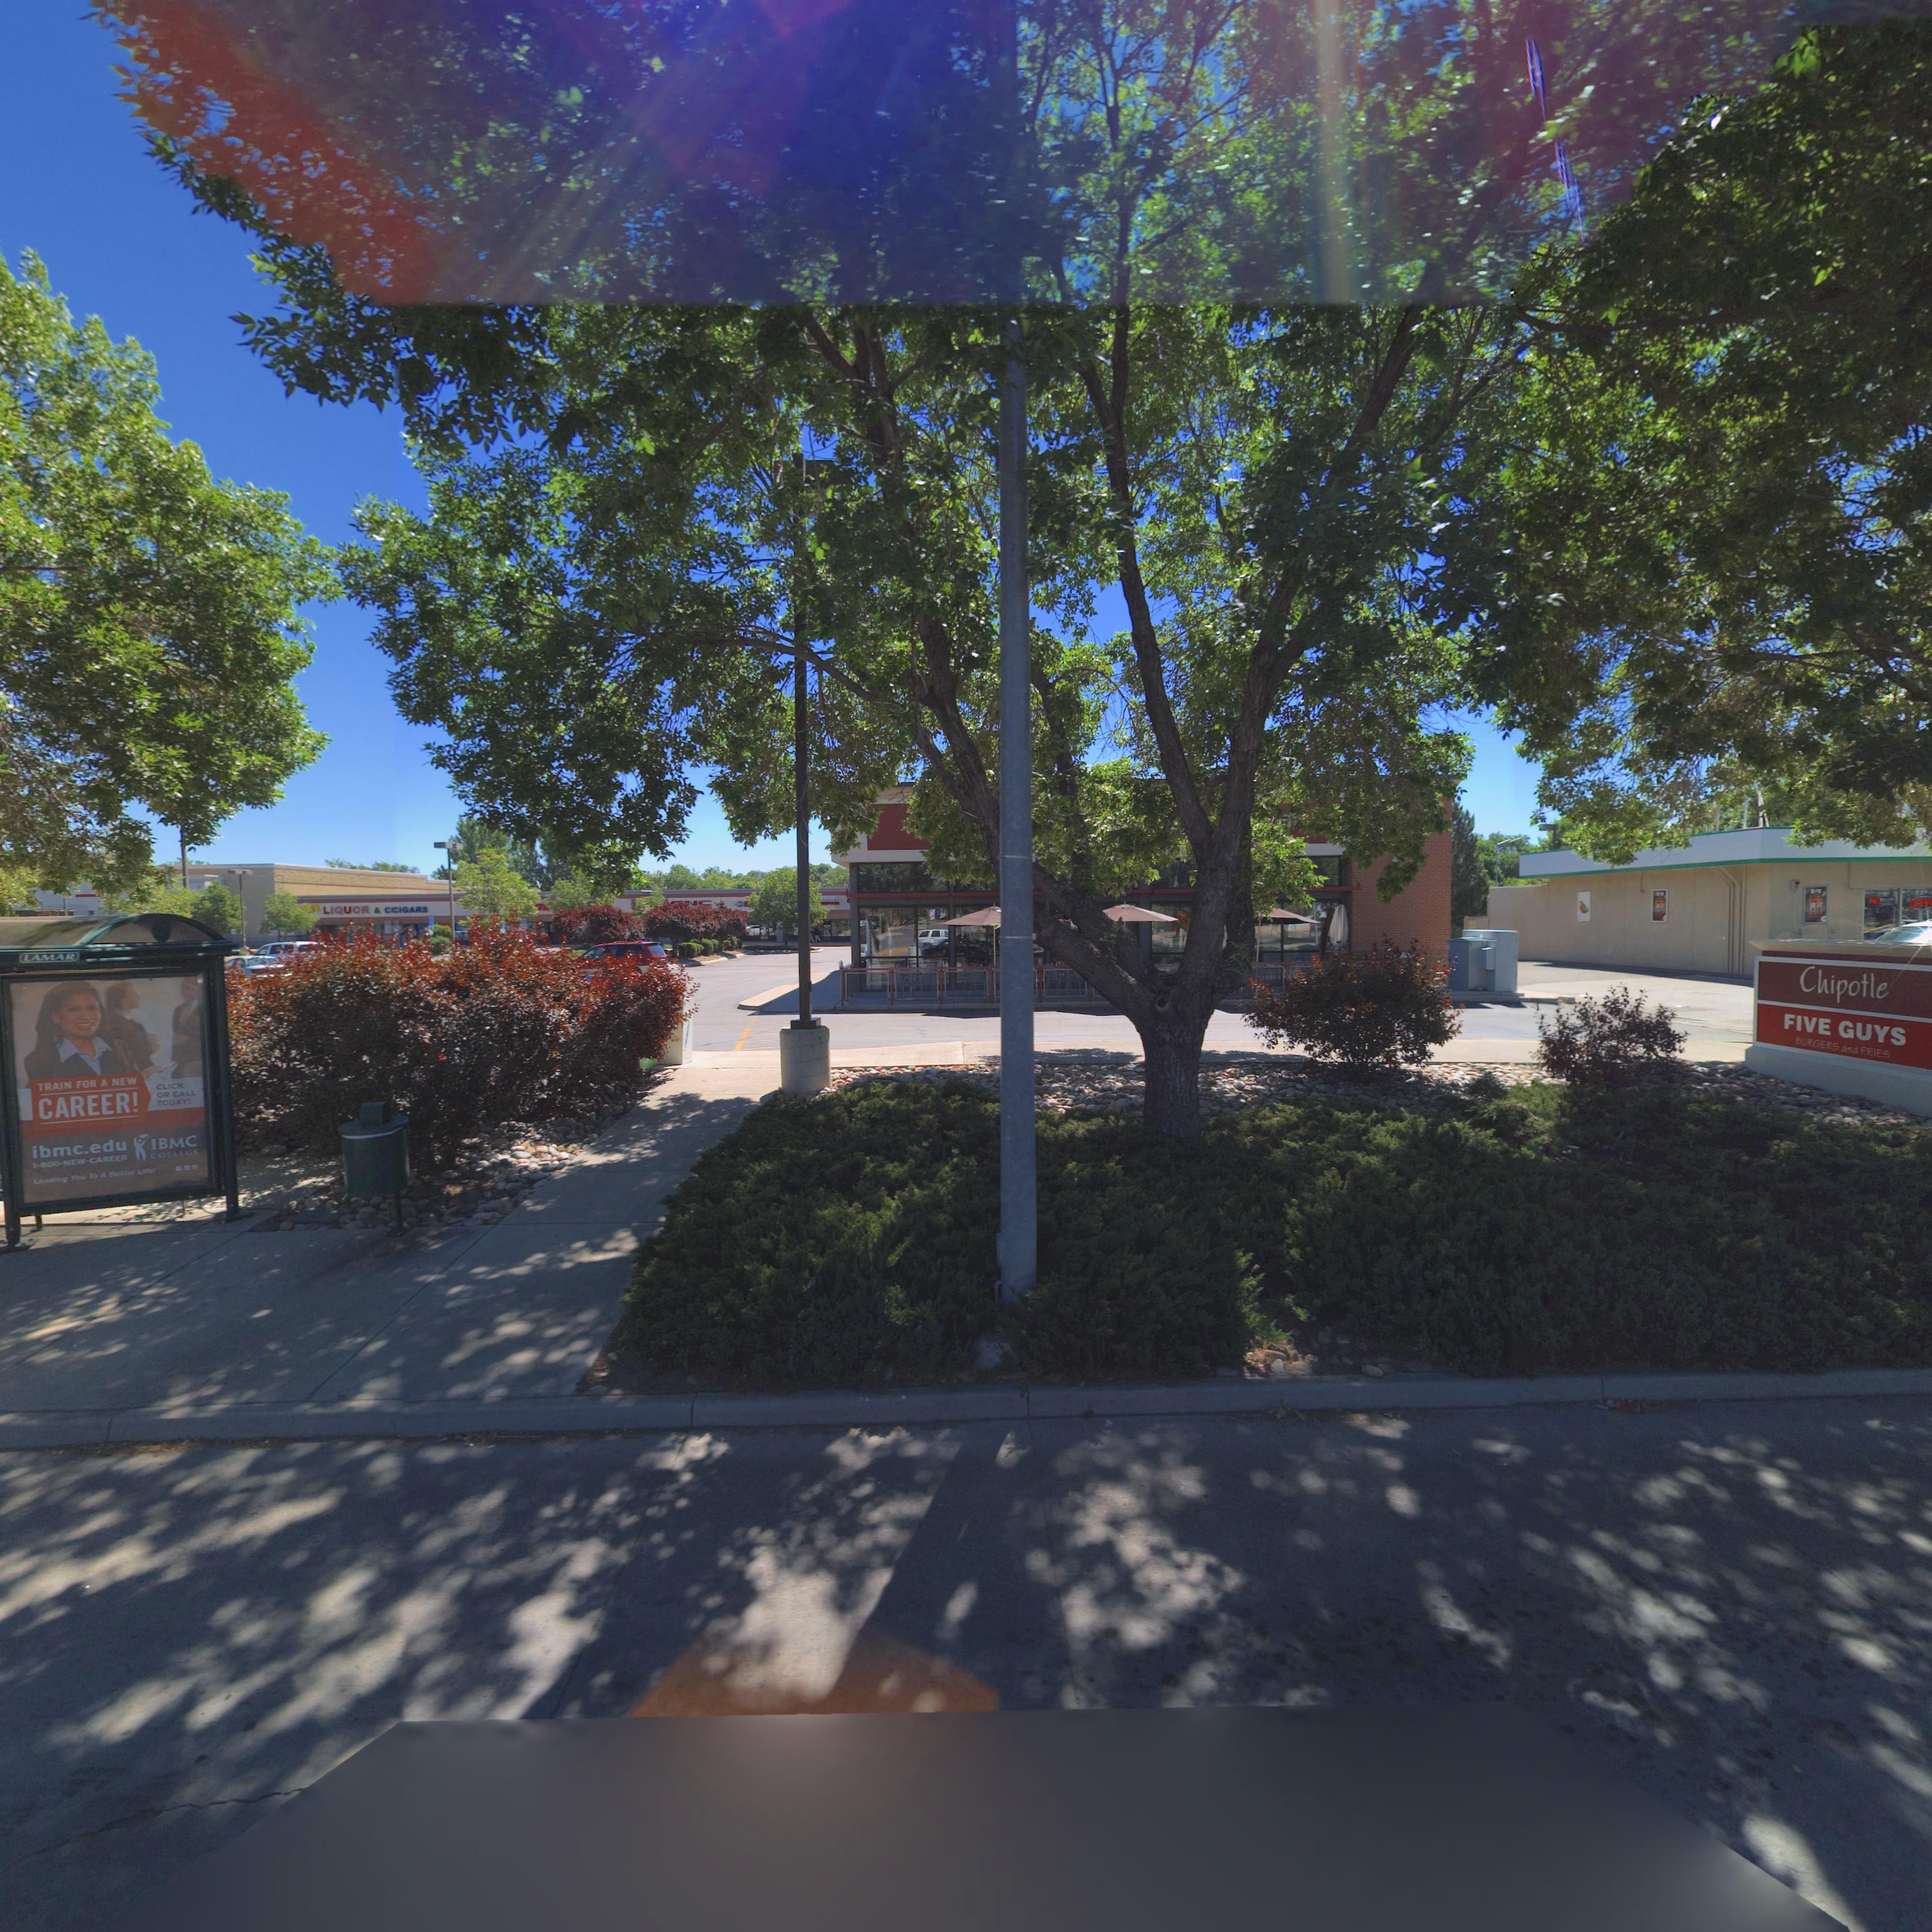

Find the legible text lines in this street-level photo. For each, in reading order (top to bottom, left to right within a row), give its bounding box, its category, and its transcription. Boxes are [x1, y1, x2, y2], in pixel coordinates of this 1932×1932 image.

[311, 904, 428, 915] BusinessName: E LIQUOR & CICIGARS
[684, 900, 712, 908] BusinessName: NC
[1798, 964, 1891, 1004] BusinessName: Chipotle
[1783, 1013, 1907, 1046] BusinessName: FIVE GUYS
[1795, 1036, 1891, 1059] BusinessName: BURGERS and FRIES